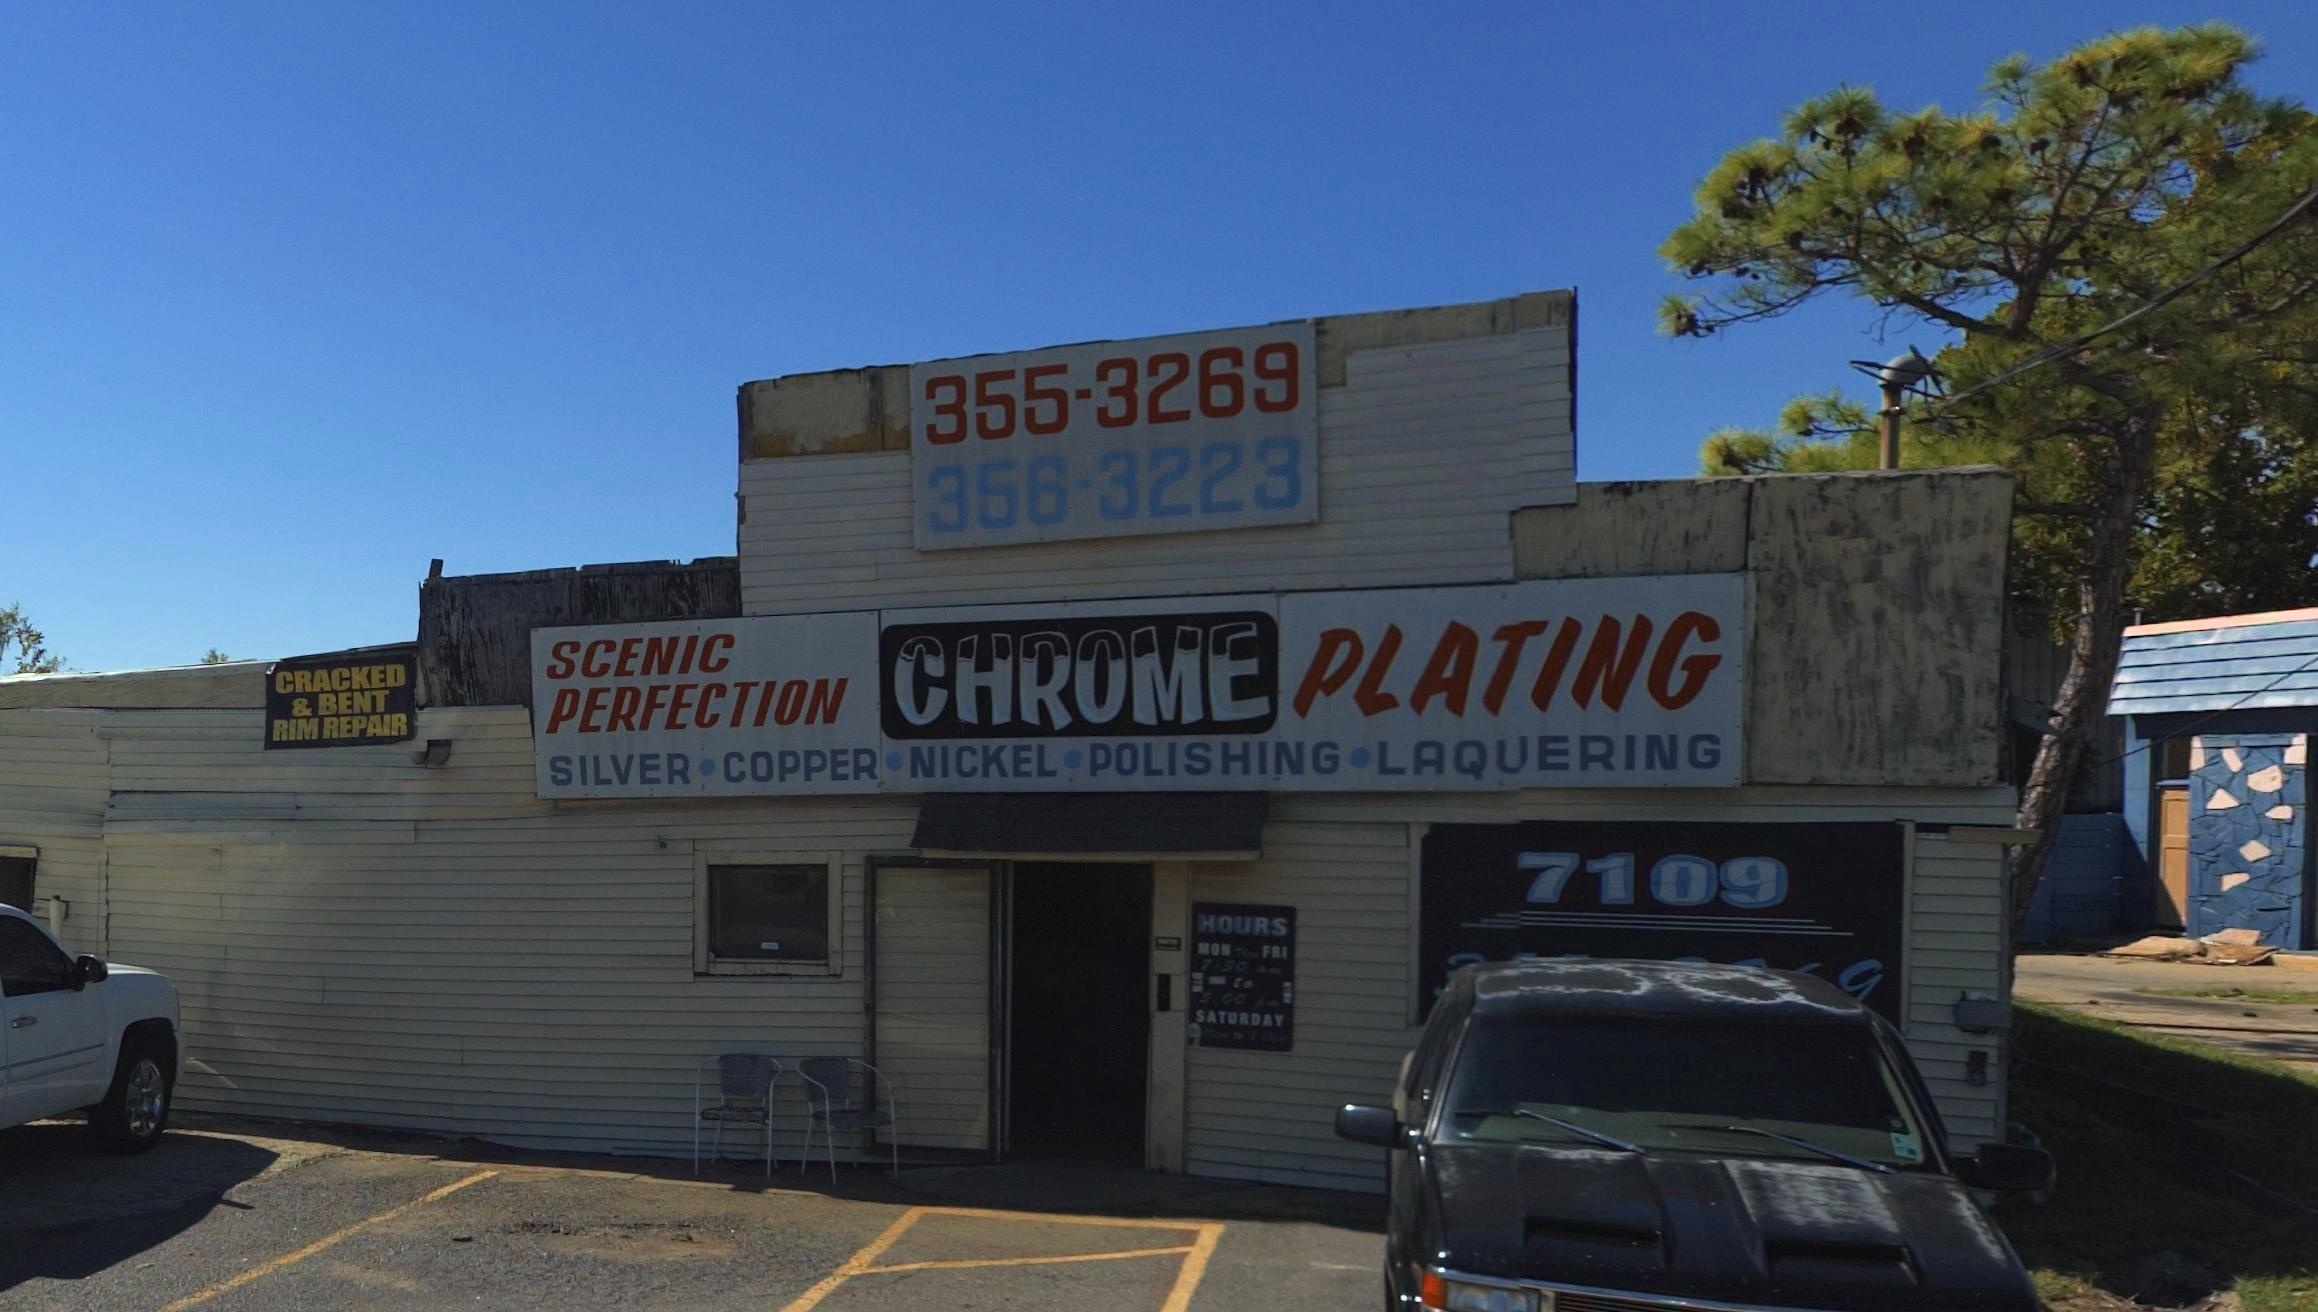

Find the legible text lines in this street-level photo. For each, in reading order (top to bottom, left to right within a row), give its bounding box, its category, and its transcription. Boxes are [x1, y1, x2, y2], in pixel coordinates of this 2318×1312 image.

[924, 340, 1303, 448] None: 355-3269
[925, 432, 1304, 537] None: 356-3223
[272, 662, 408, 695] None: CRACKED
[543, 632, 739, 681] BusinessName: SCENIC
[892, 611, 1724, 734] BusinessName: CHROME PLATING
[292, 688, 390, 718] None: & BENT
[544, 677, 850, 735] BusinessName: PERFECTION
[270, 712, 407, 744] None: RIM REPAIR
[548, 731, 1722, 788] None: SILVER - COPPER - NICKEL - POLISHING - LAQUERING
[1517, 851, 1792, 910] StreetNumber: 7109
[1196, 912, 1289, 938] None: HOURS
[1199, 957, 1286, 976] None: 7:30 AM
[1230, 973, 1255, 990] None: to
[1197, 942, 1289, 958] None: MON - FRI
[1198, 990, 1282, 1010] None: 5:00 PM
[1195, 1009, 1285, 1029] None: SATURDAY